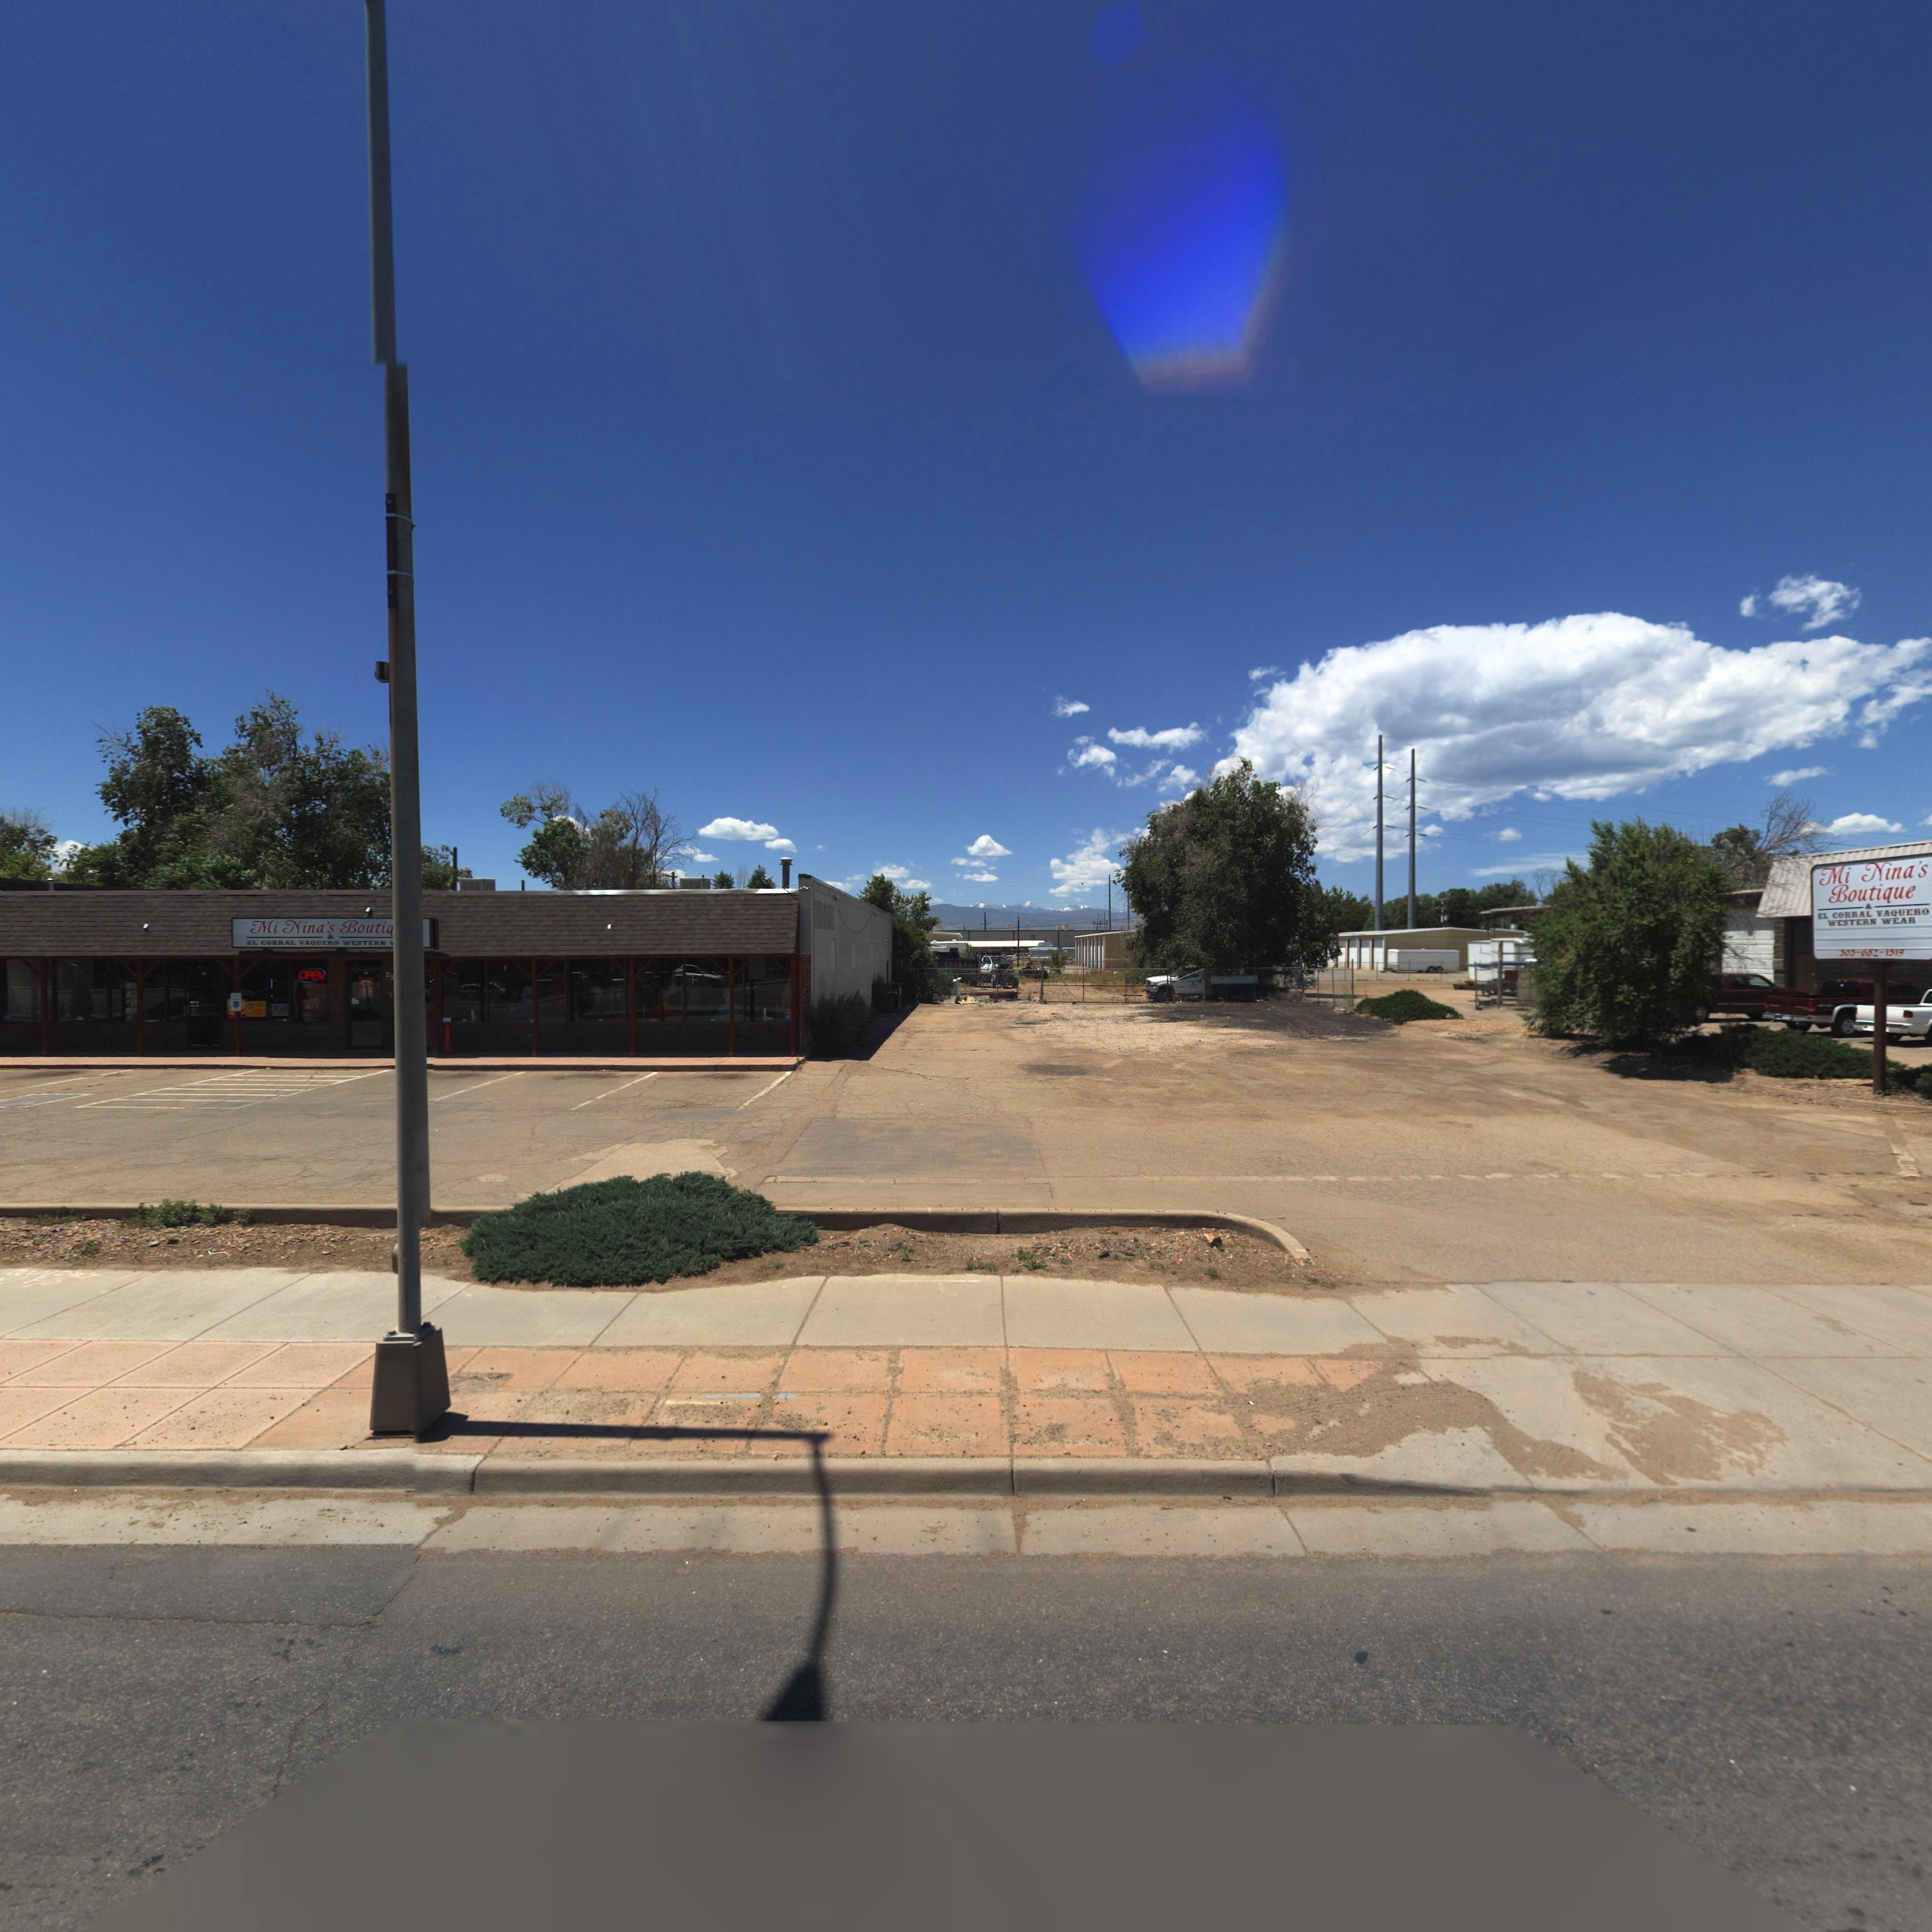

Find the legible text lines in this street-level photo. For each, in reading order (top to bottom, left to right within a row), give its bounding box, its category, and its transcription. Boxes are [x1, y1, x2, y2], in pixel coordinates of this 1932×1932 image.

[1818, 860, 1929, 886] BusinessName: Mi Nina's
[1826, 883, 1917, 905] BusinessName: Boutique
[250, 919, 393, 936] BusinessName: Mi Nina's Boutiq